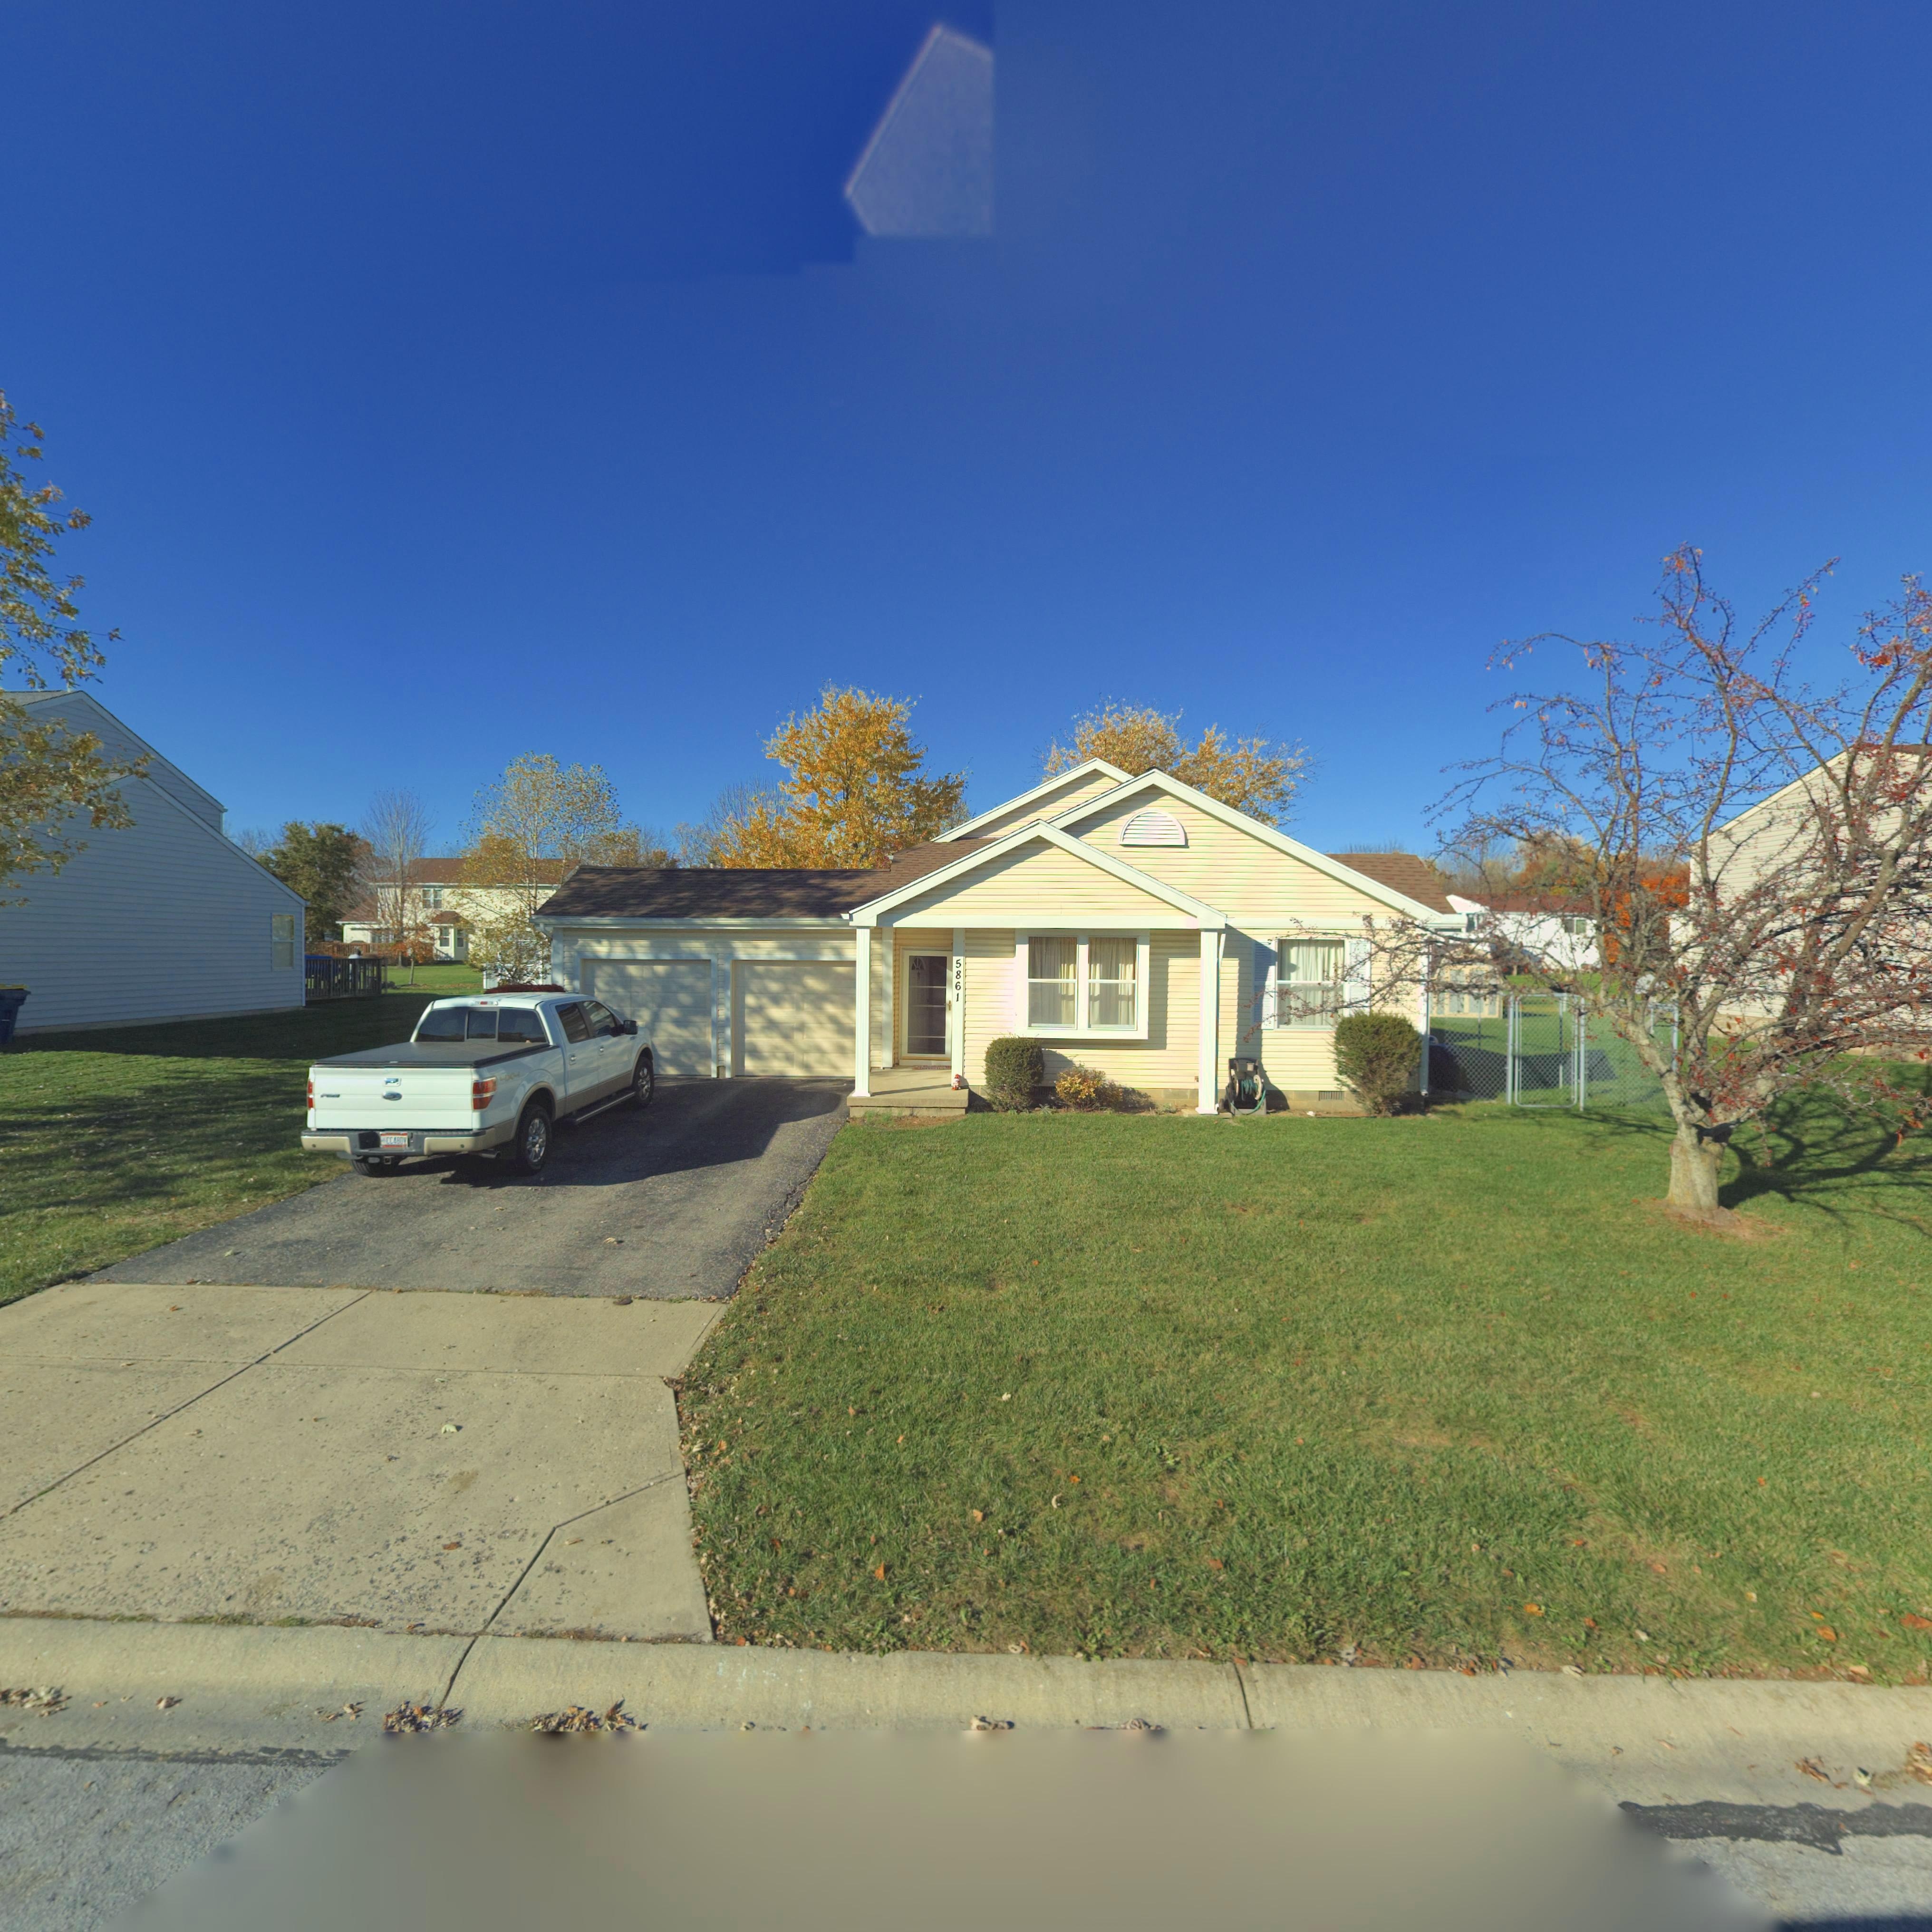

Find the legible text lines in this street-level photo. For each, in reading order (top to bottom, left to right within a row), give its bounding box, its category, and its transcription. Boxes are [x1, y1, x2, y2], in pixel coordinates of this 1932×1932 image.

[954, 957, 963, 1004] StreetNumber: 5861